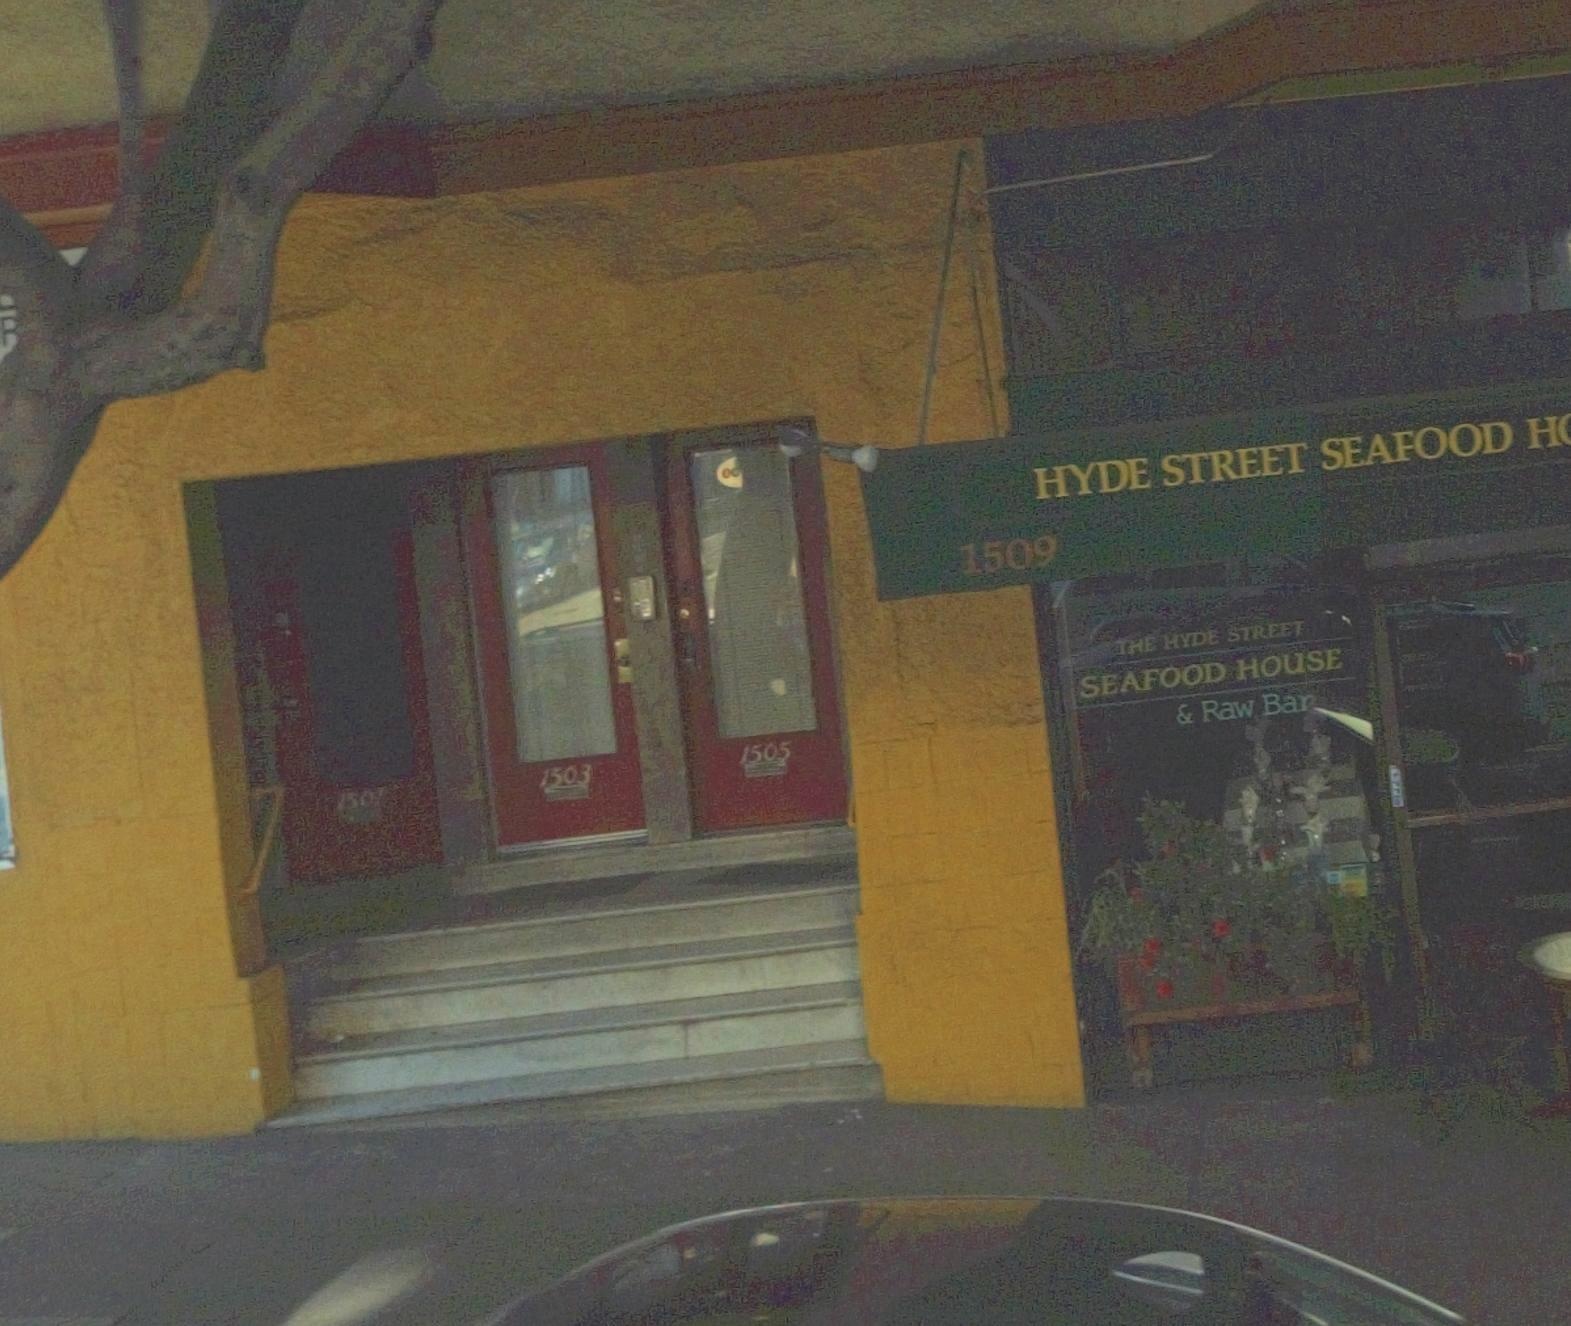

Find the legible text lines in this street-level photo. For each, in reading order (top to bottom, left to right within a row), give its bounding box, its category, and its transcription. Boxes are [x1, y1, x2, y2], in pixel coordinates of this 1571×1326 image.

[1030, 412, 1571, 504] BusinessName: HYDE STREET SEAFOOD H*
[956, 533, 1060, 578] StreetNumber: 1509
[1114, 618, 1306, 658] BusinessName: THE HYDE STREET
[1078, 646, 1345, 701] BusinessName: SEAFOOD HOUSE
[1172, 691, 1317, 727] BusinessName: & Raw Bar
[737, 739, 794, 767] StreetNumber: 1505
[334, 785, 389, 813] StreetNumber: 1501
[536, 761, 595, 791] StreetNumber: 1503
[1389, 767, 1402, 797] None: PULL